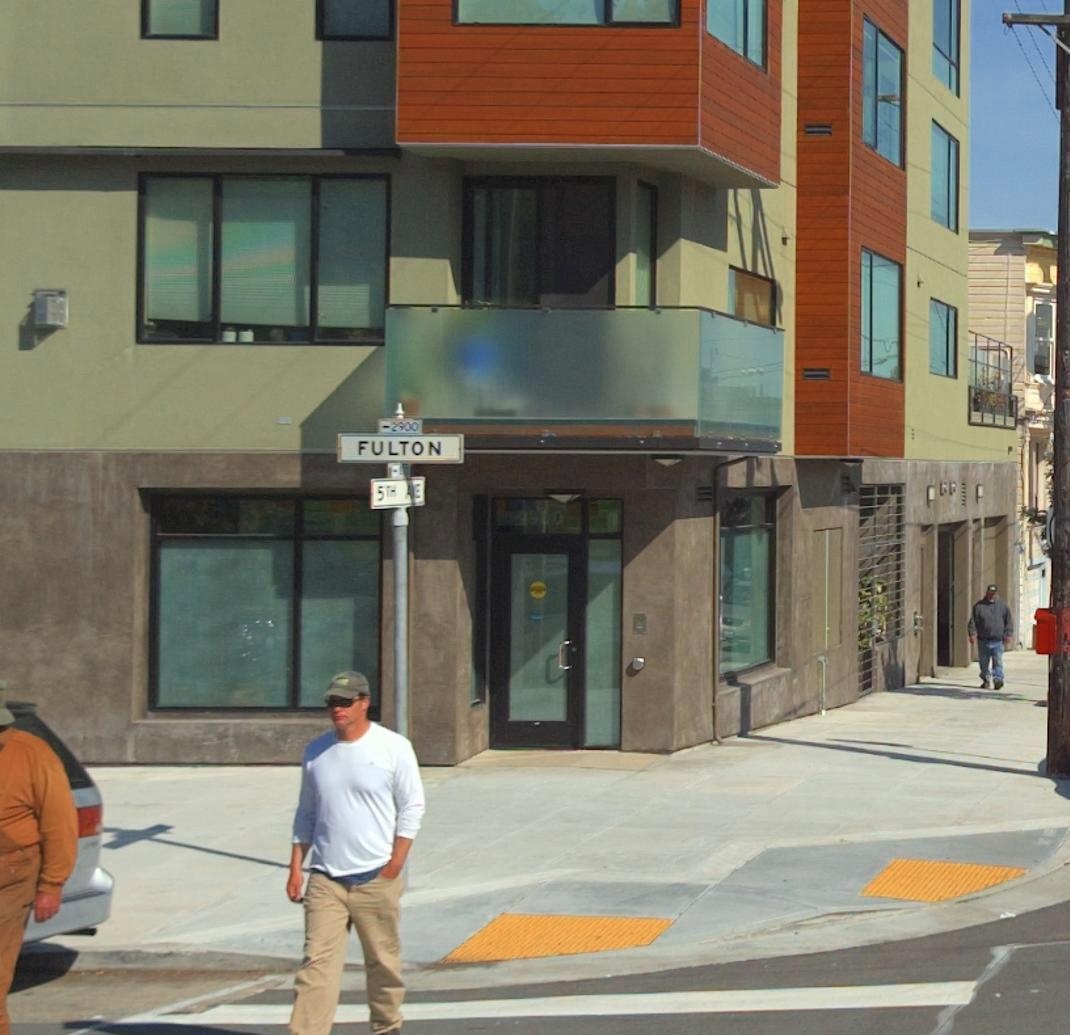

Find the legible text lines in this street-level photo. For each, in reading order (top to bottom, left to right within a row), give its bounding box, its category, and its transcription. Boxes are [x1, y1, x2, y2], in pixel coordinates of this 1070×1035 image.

[380, 420, 418, 433] StreetNumberRange: <-2900
[356, 438, 441, 456] StreetName: FULTON
[375, 481, 421, 502] StreetName: 5TH AVE
[516, 509, 564, 528] StreetNumber: 2900